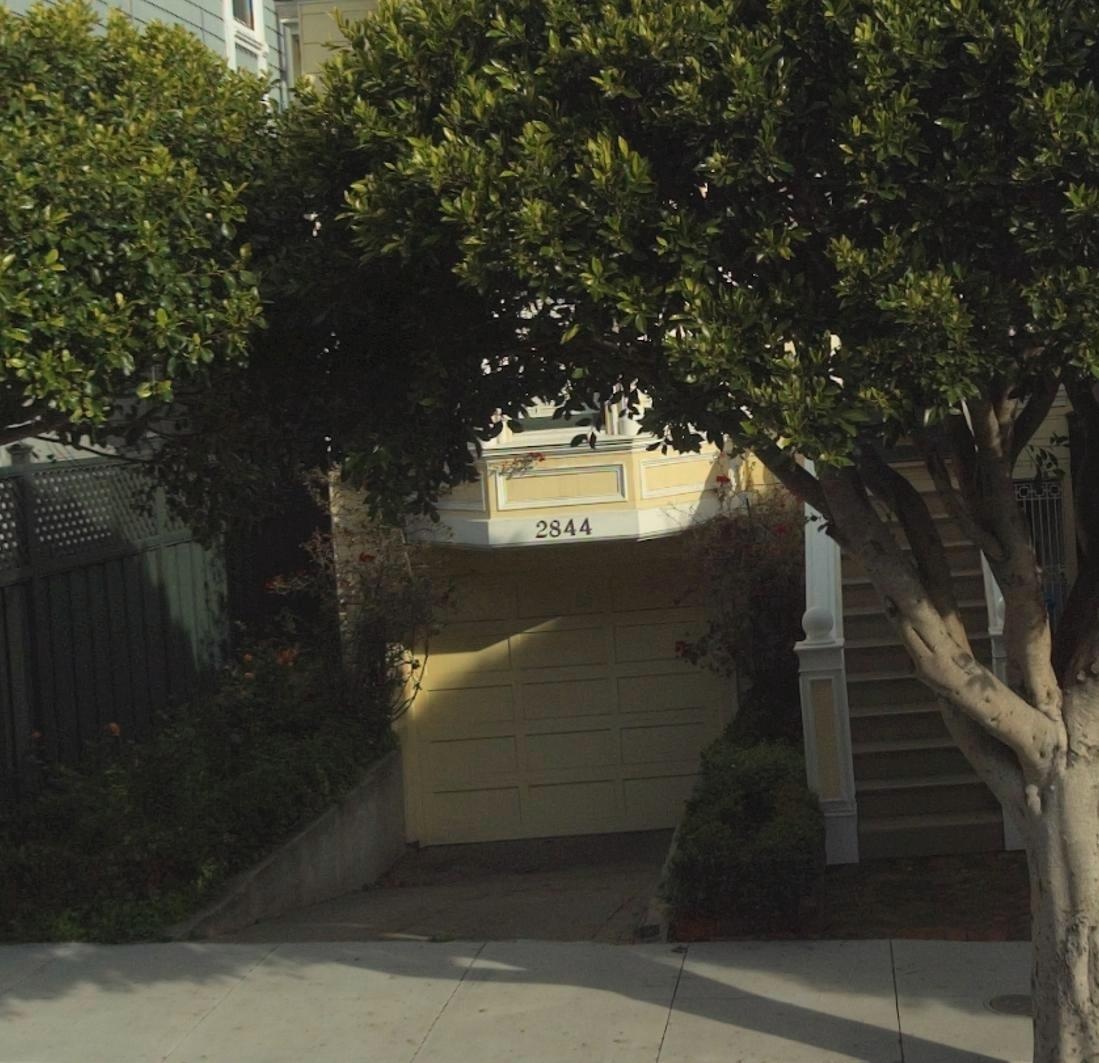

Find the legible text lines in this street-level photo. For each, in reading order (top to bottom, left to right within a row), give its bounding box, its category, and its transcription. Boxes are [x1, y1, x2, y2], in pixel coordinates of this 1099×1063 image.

[532, 513, 597, 542] StreetNumber: 2844